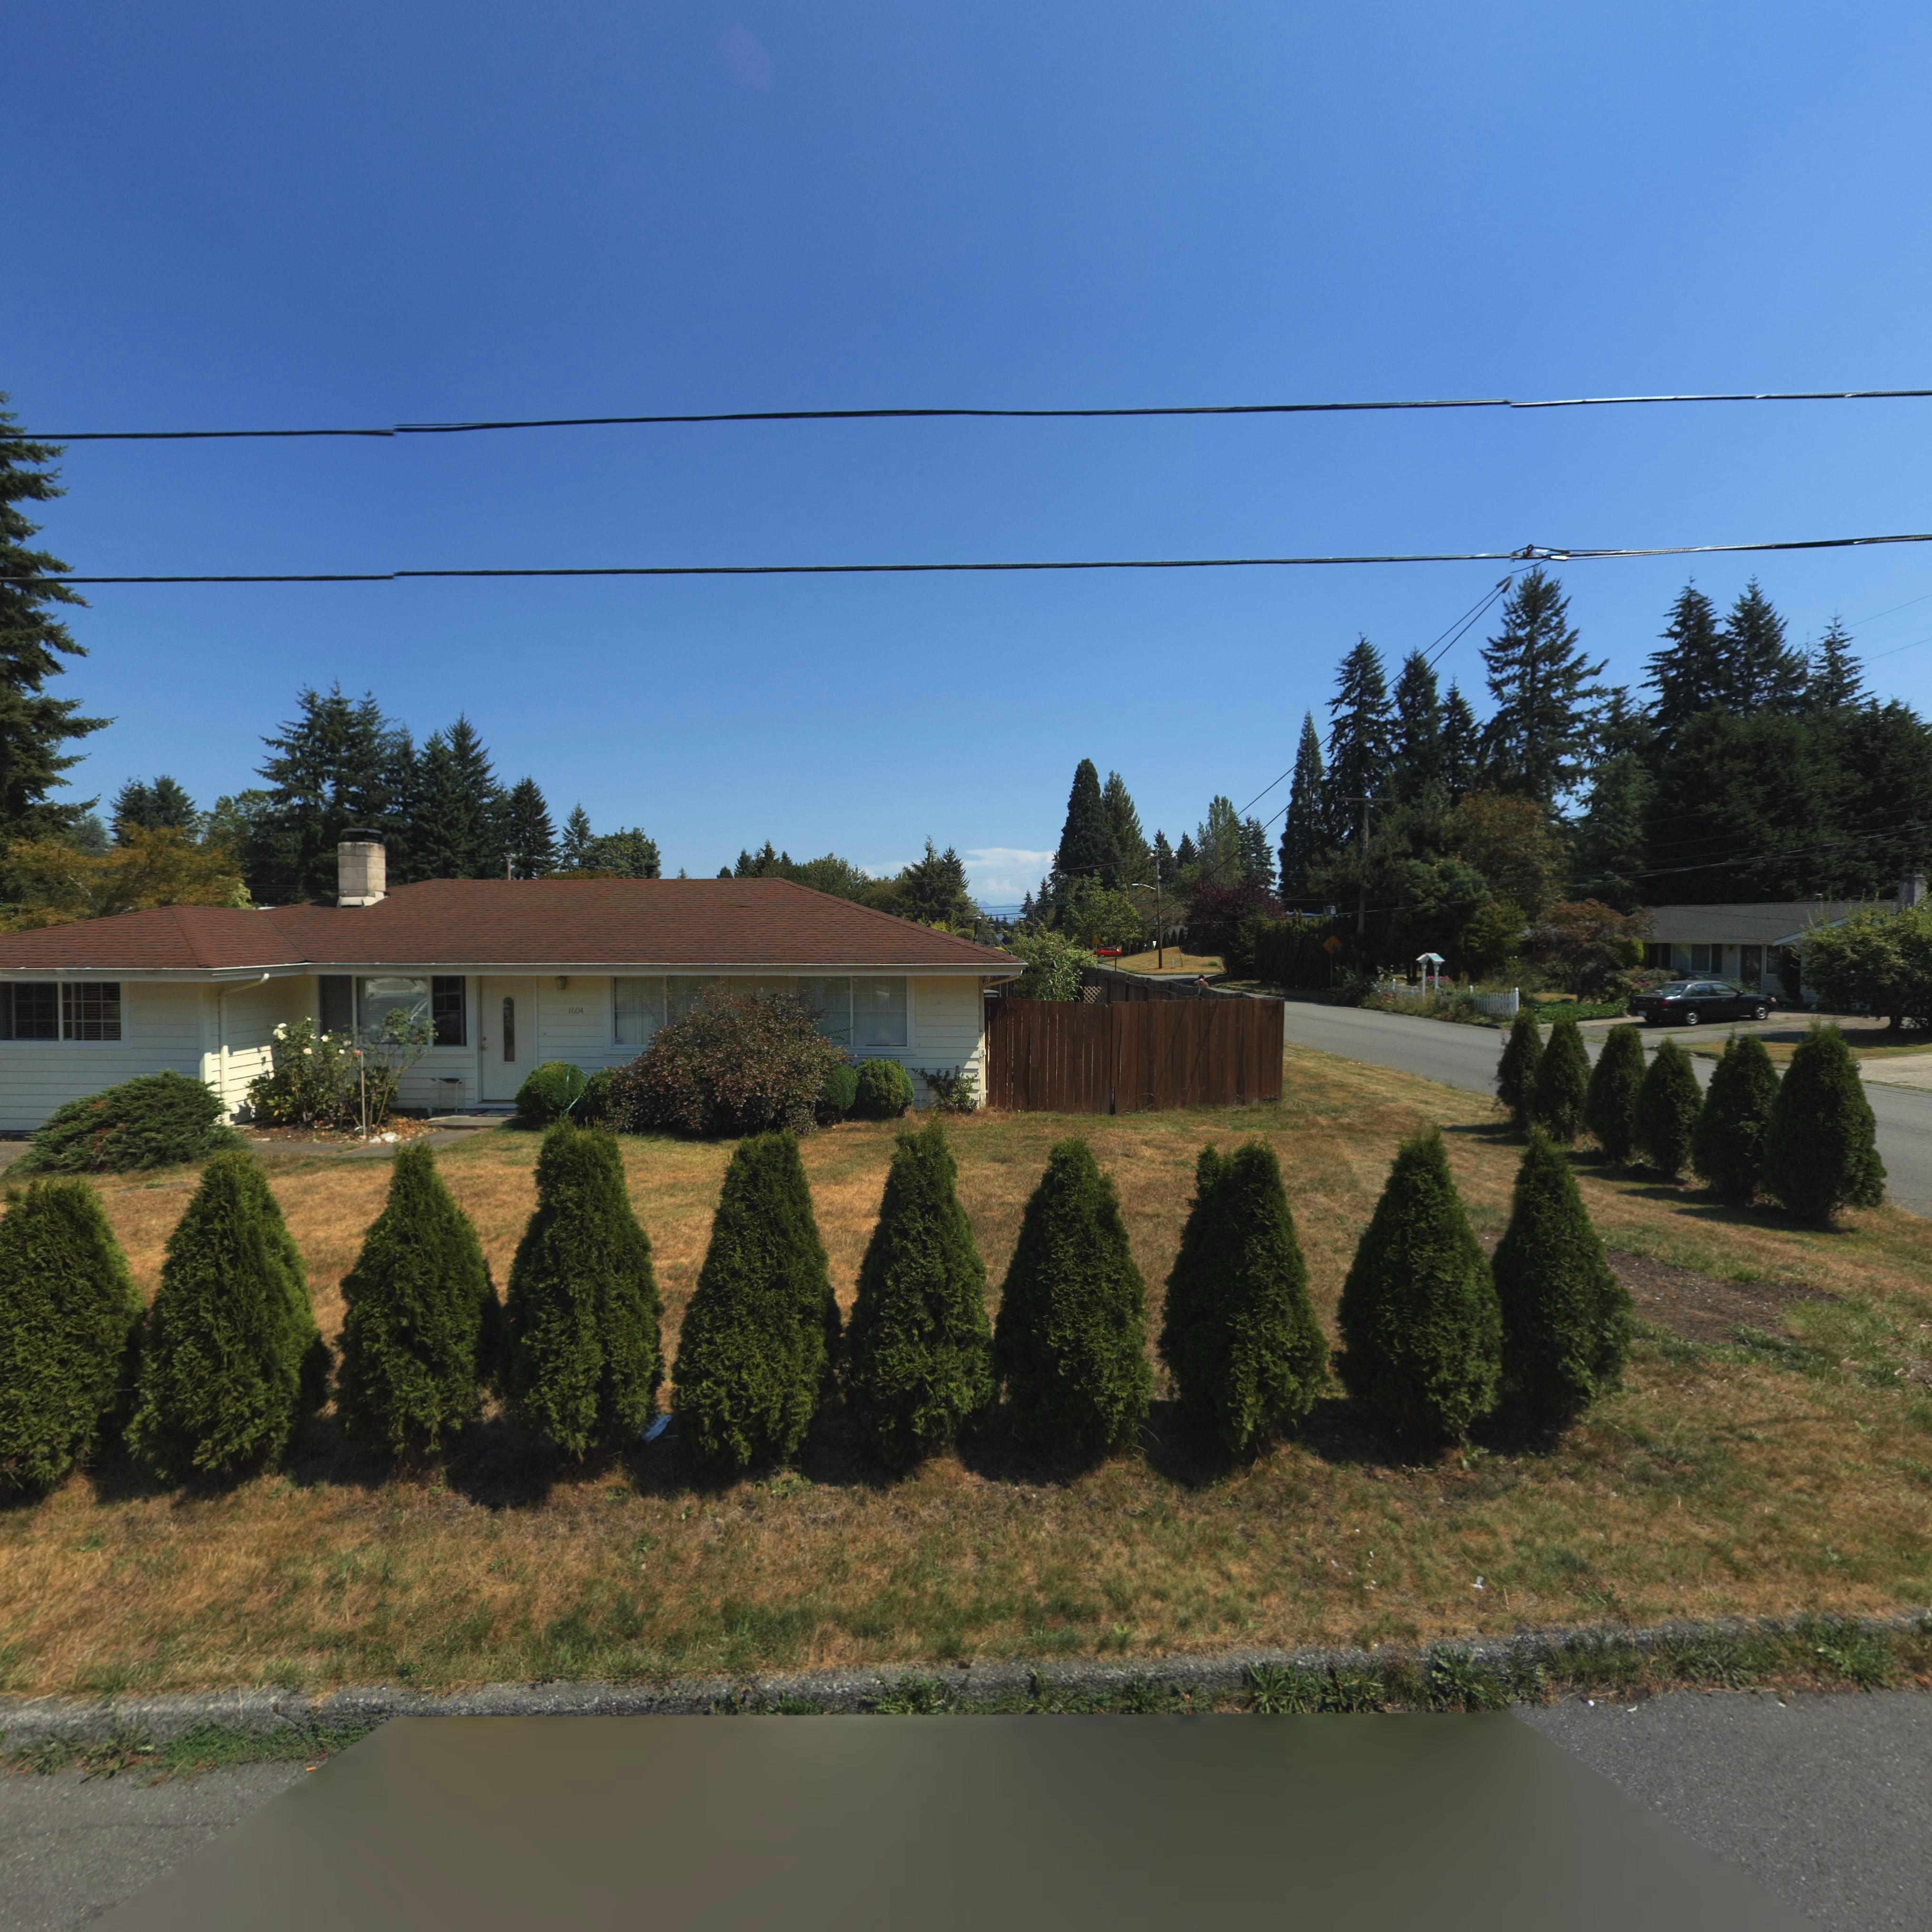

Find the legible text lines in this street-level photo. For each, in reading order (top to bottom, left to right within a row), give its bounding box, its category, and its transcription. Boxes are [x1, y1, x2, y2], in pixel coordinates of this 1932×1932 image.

[569, 1007, 583, 1014] StreetNumber: 1604